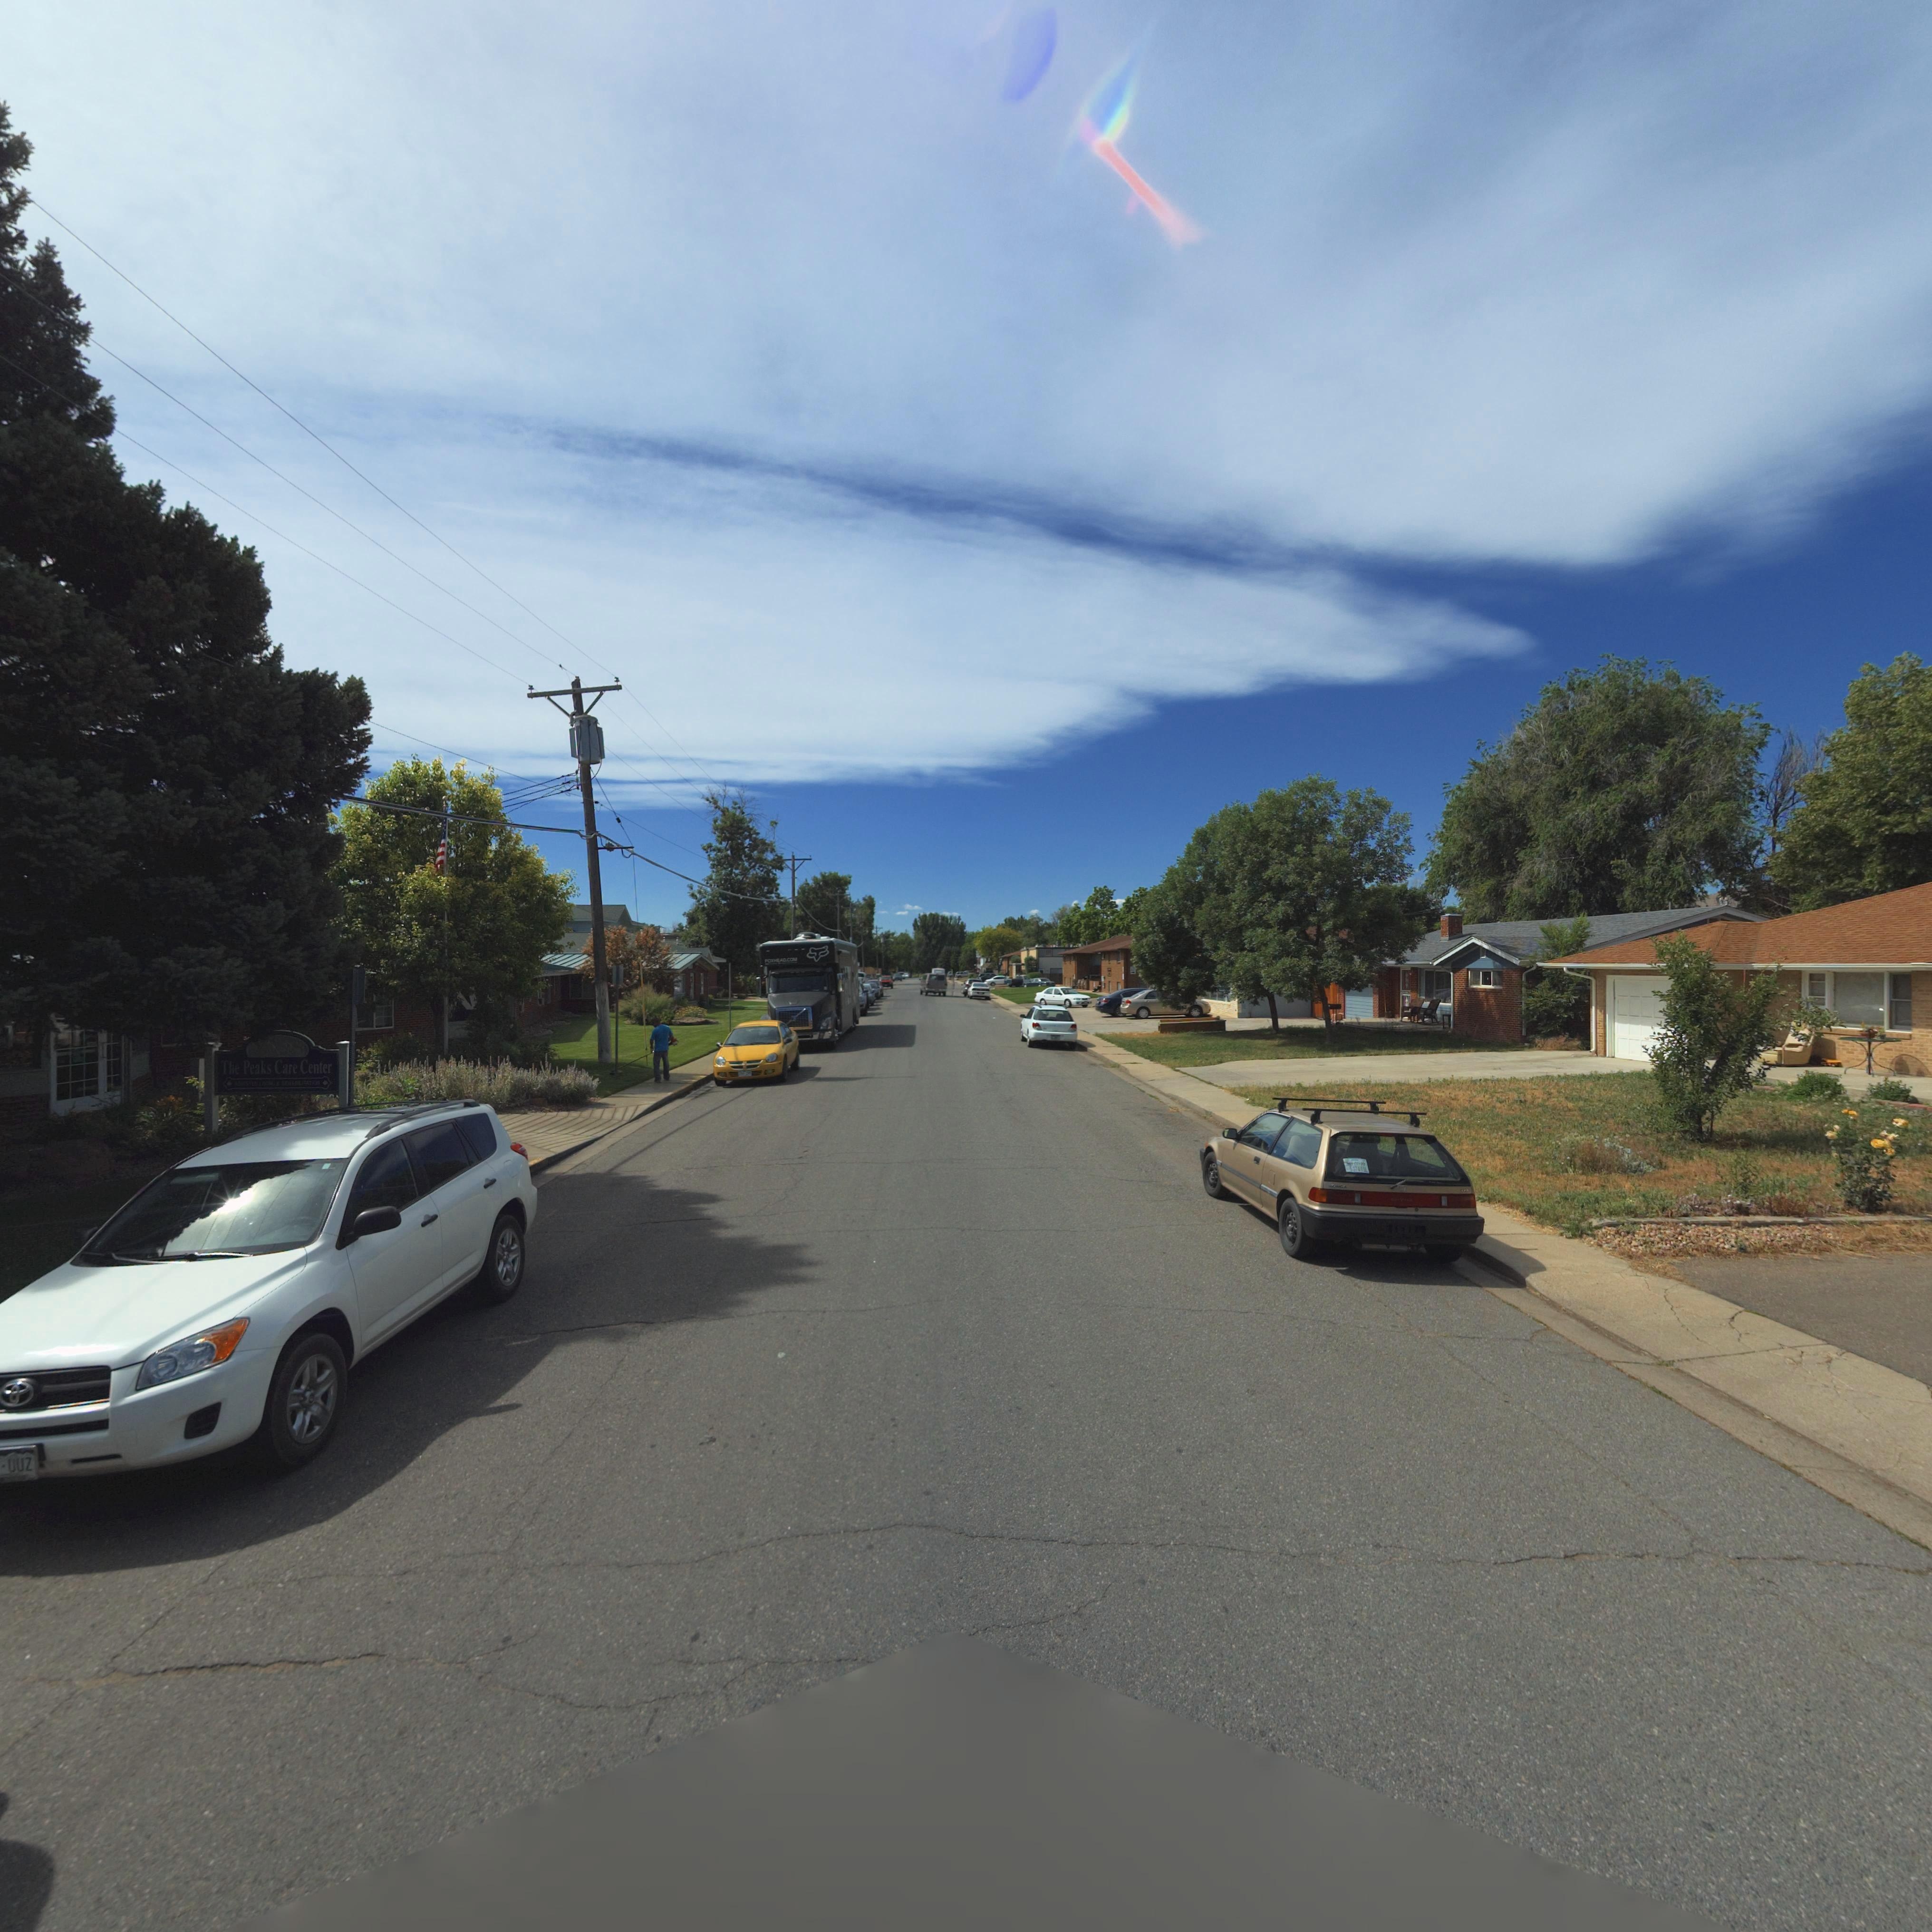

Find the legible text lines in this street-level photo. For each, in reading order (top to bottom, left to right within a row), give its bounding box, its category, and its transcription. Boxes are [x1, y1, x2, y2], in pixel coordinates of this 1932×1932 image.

[220, 1059, 333, 1075] BusinessName: The Peaks Care Center